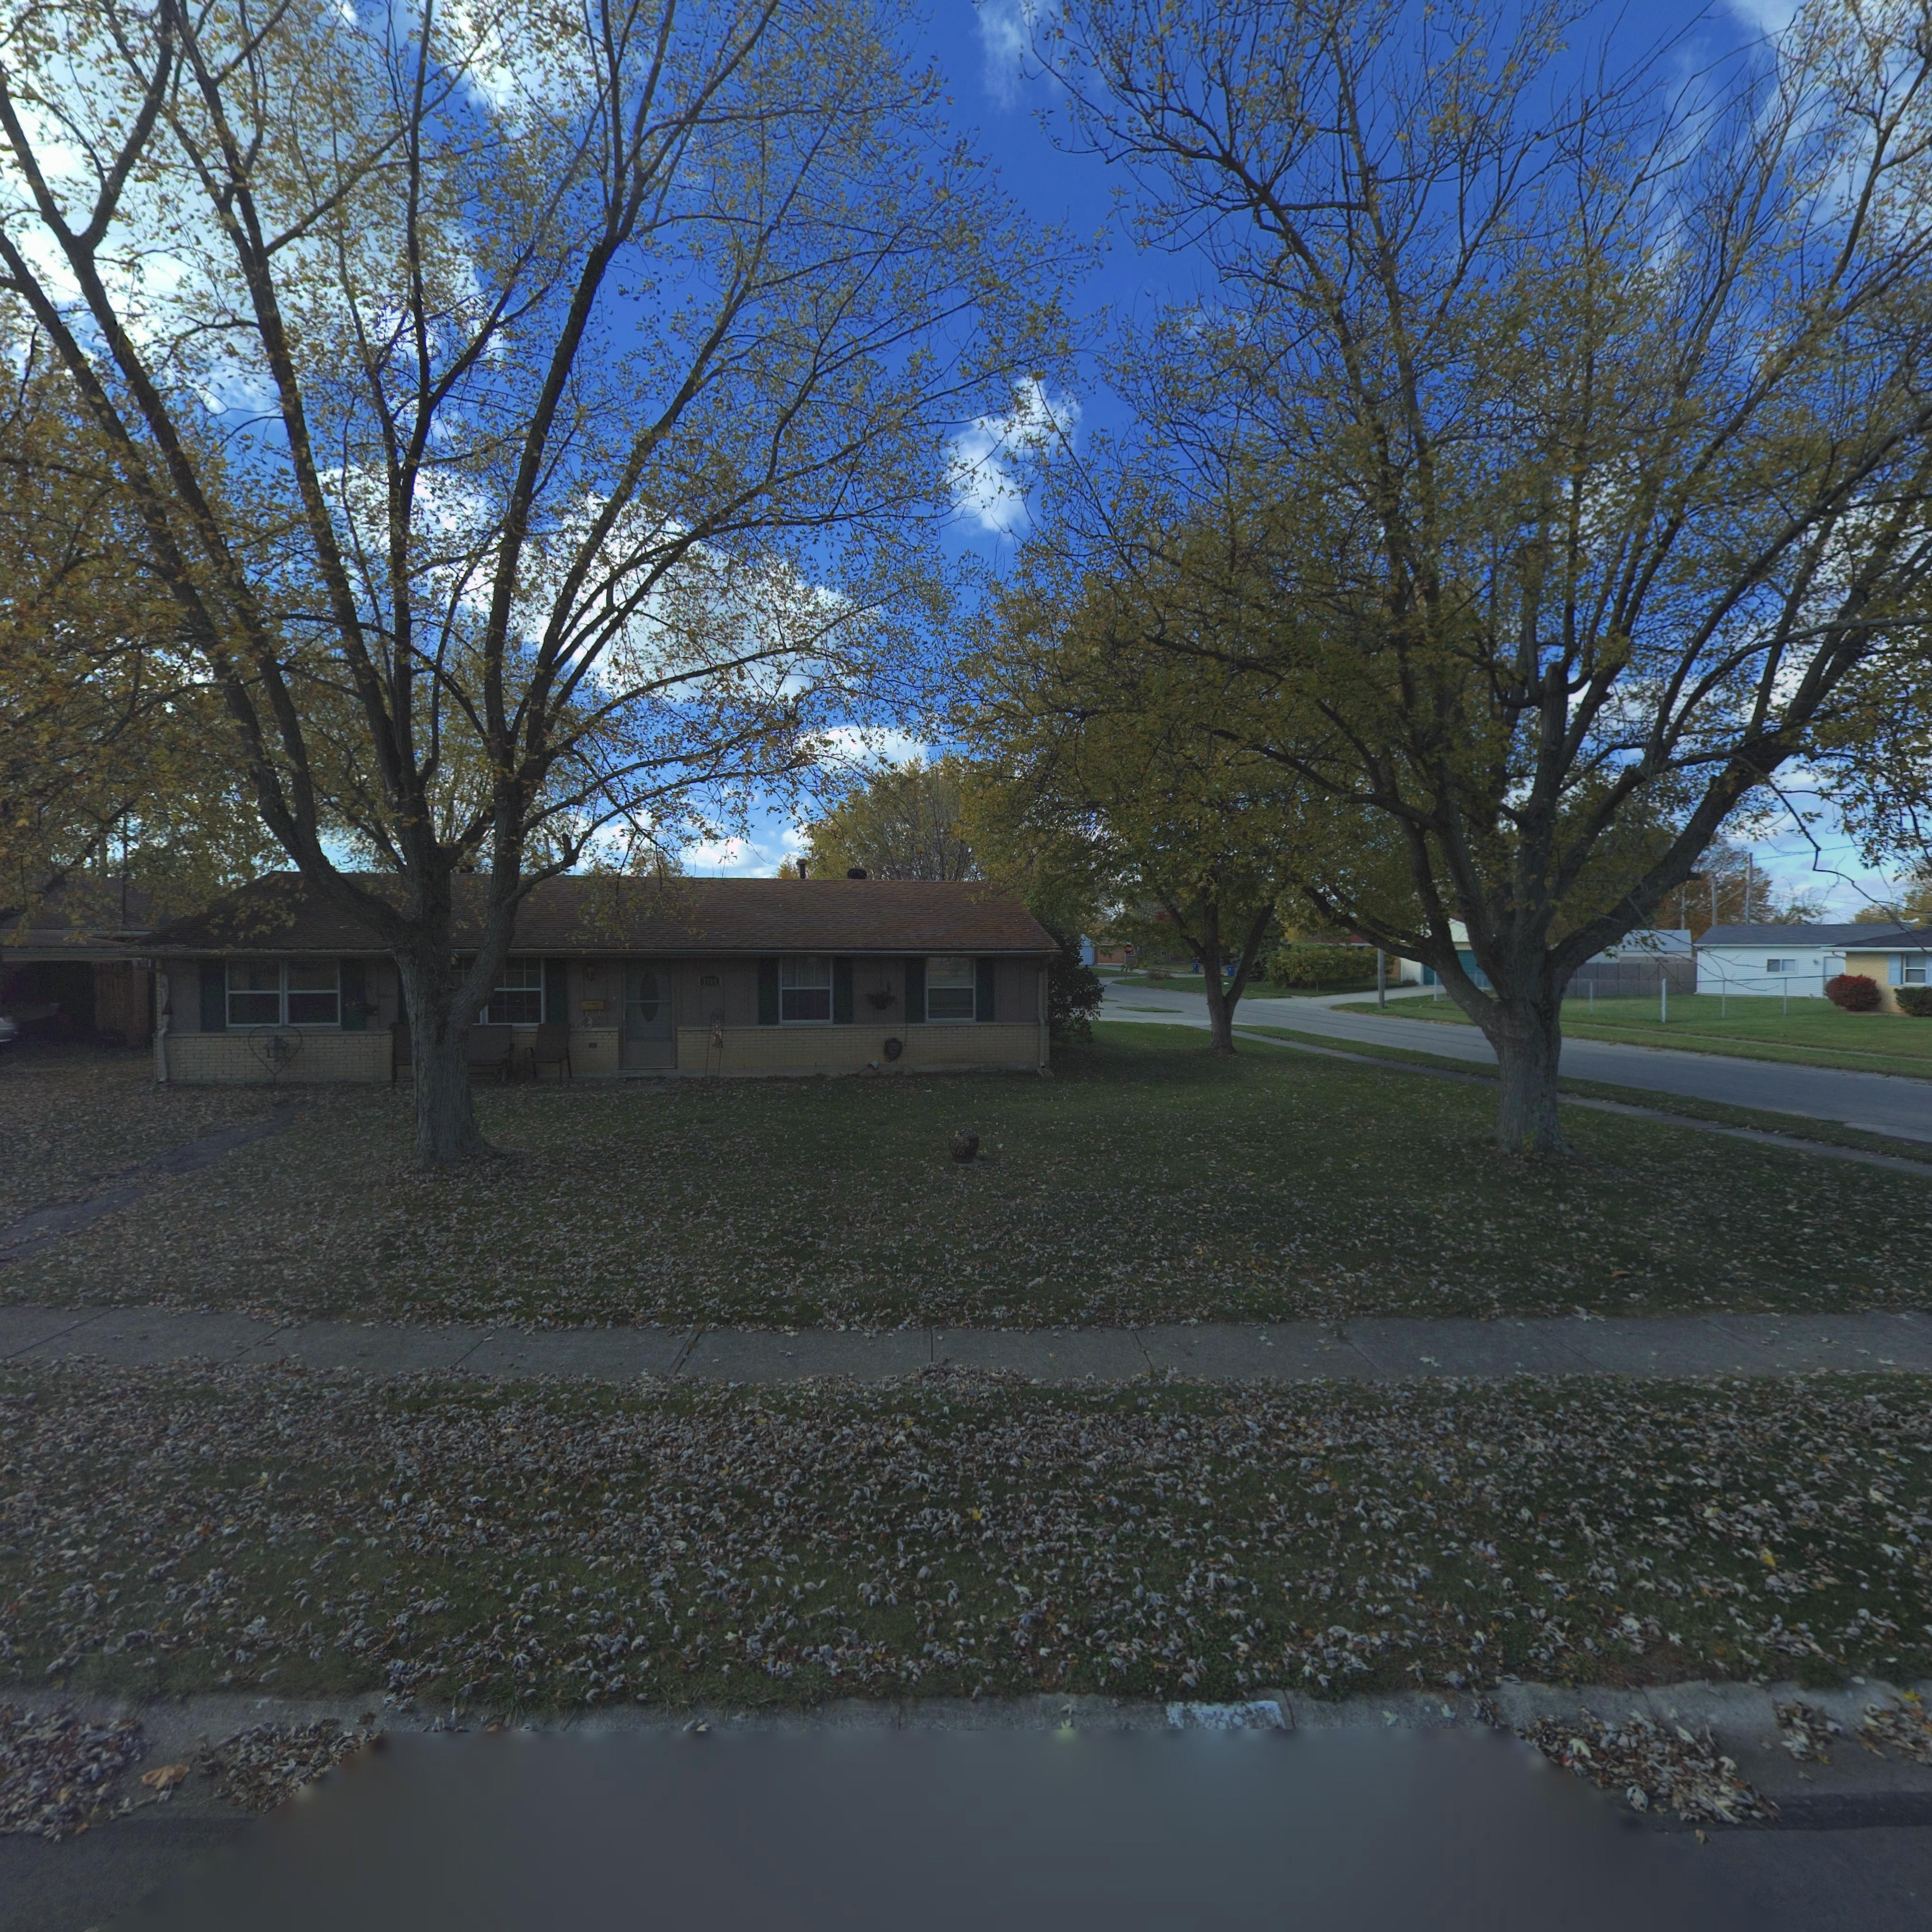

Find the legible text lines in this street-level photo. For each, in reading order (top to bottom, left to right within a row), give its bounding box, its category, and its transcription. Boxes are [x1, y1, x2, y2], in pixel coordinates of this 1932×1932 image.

[703, 978, 717, 985] StreetNumber: 7780